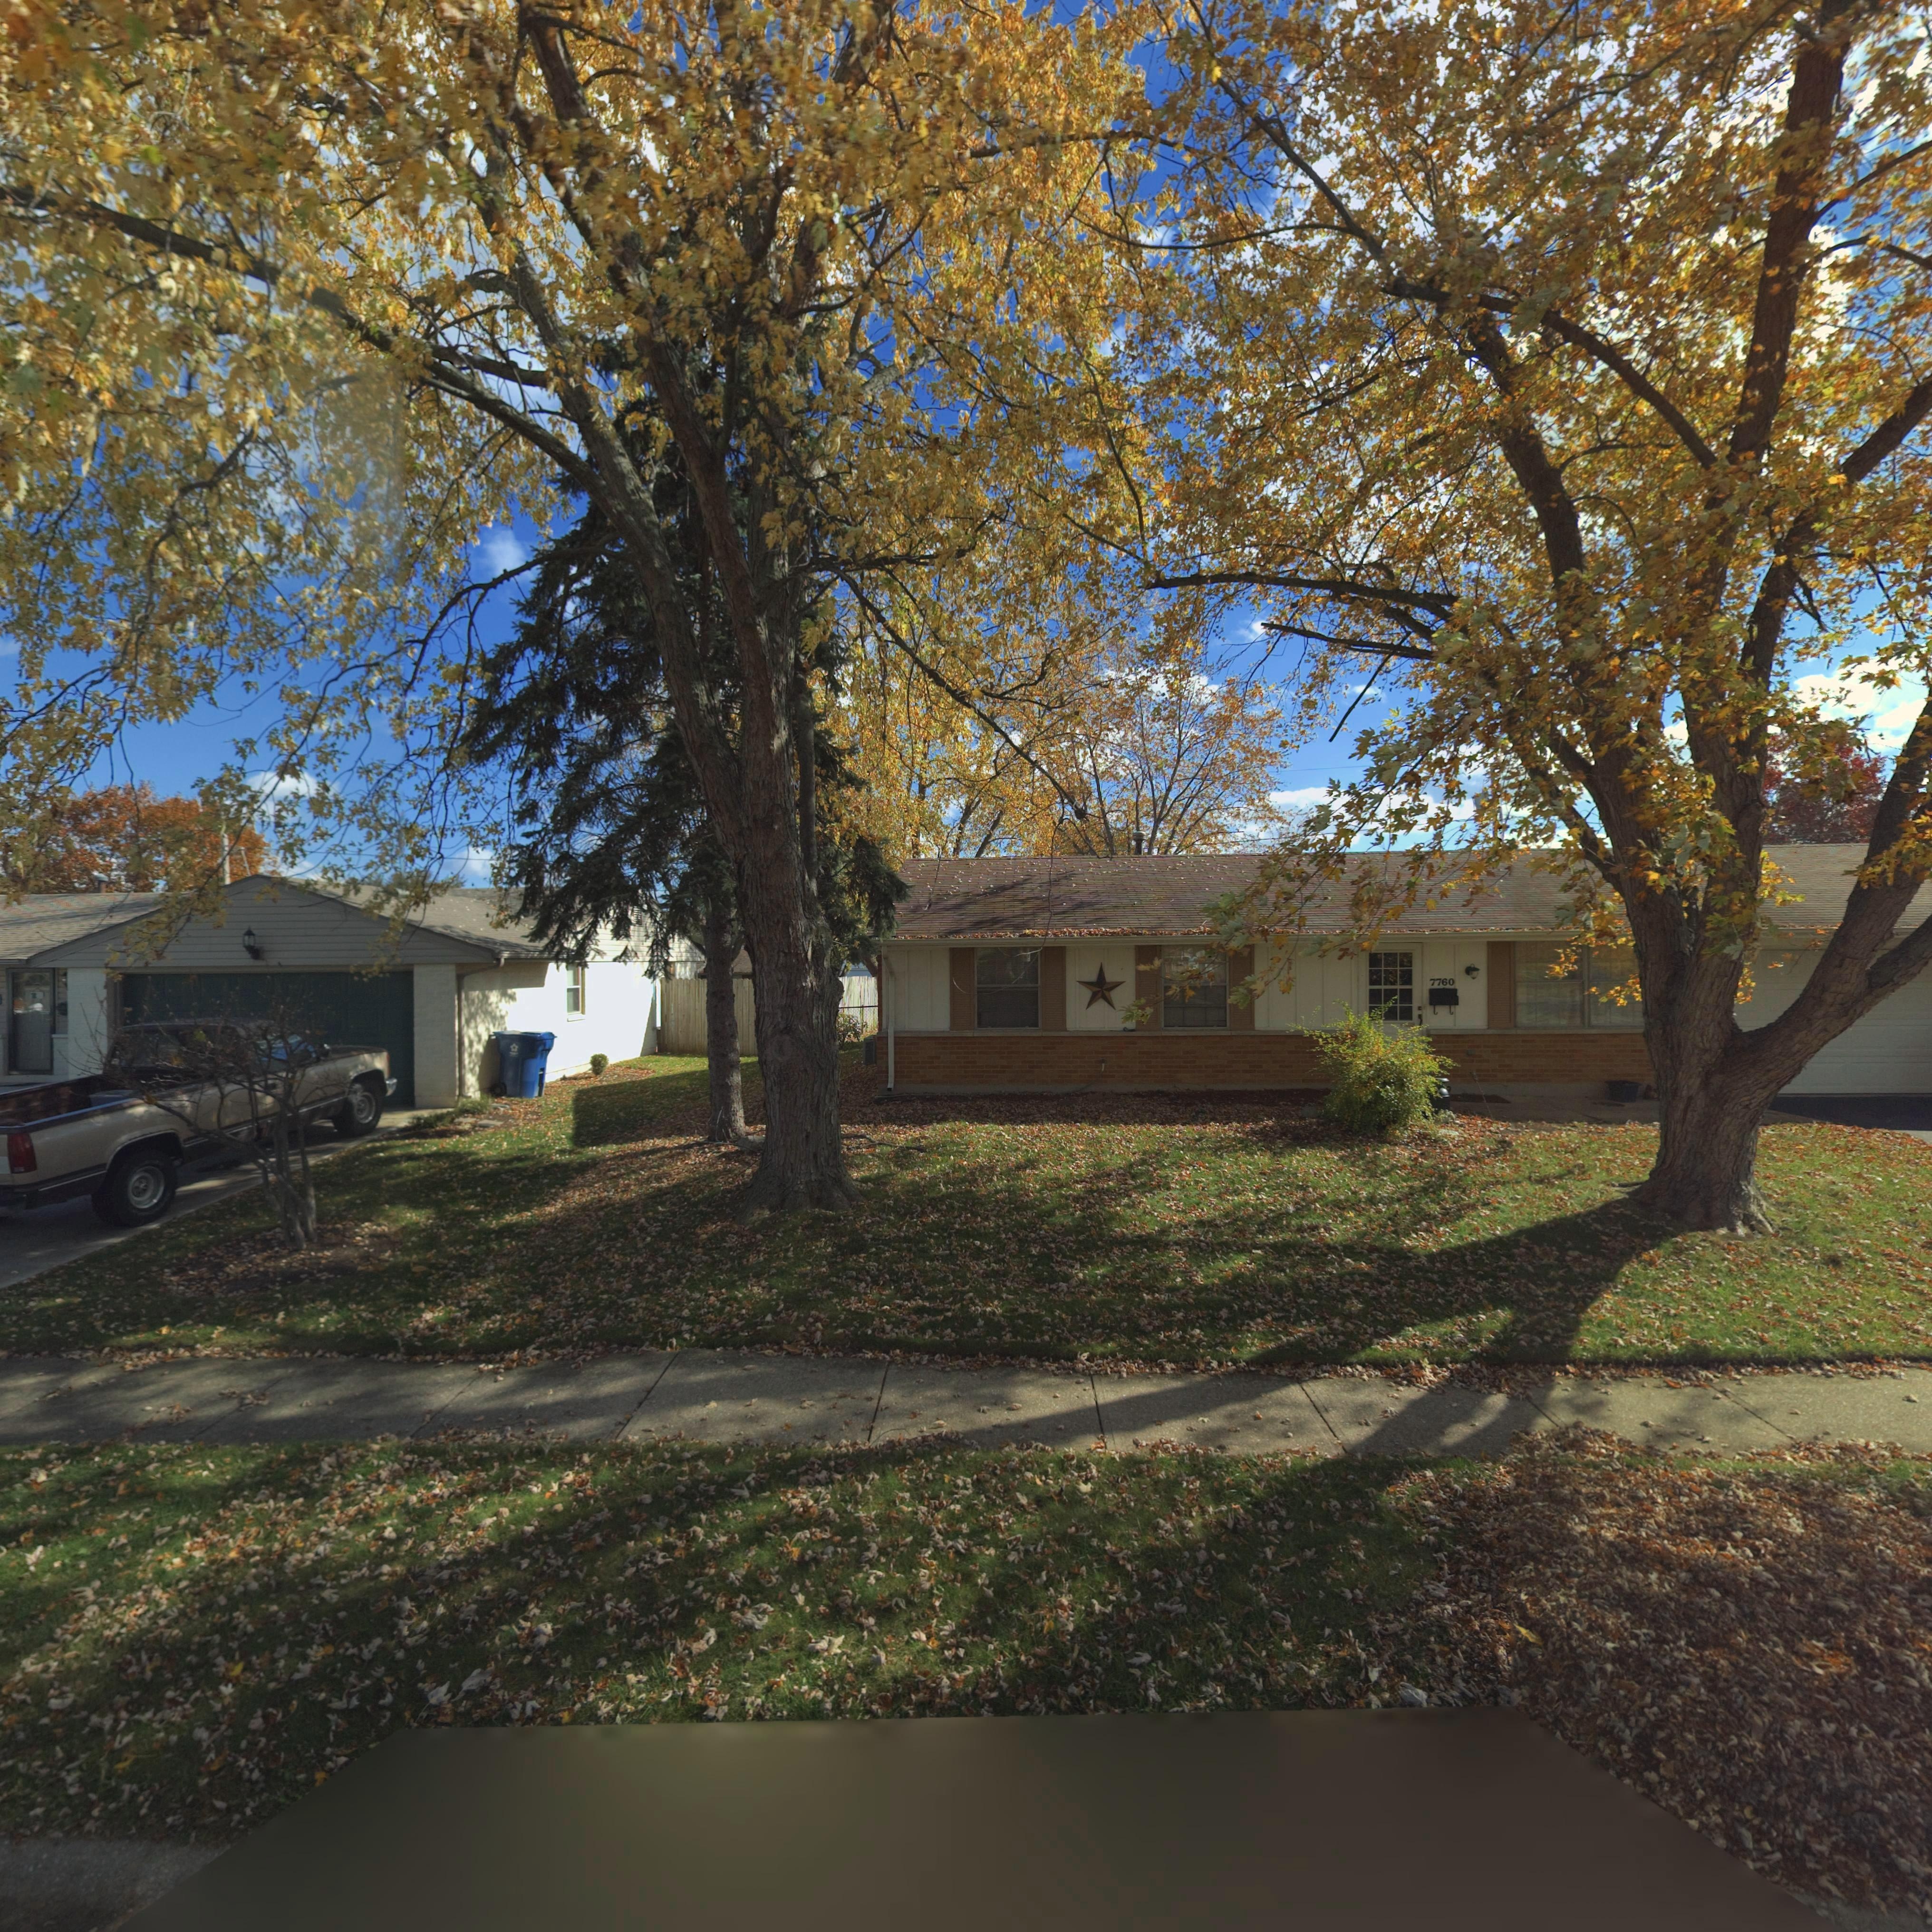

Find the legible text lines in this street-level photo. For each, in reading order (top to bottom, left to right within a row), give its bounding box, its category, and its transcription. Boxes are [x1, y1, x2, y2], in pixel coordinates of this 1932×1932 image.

[1429, 978, 1454, 986] StreetNumber: 7760